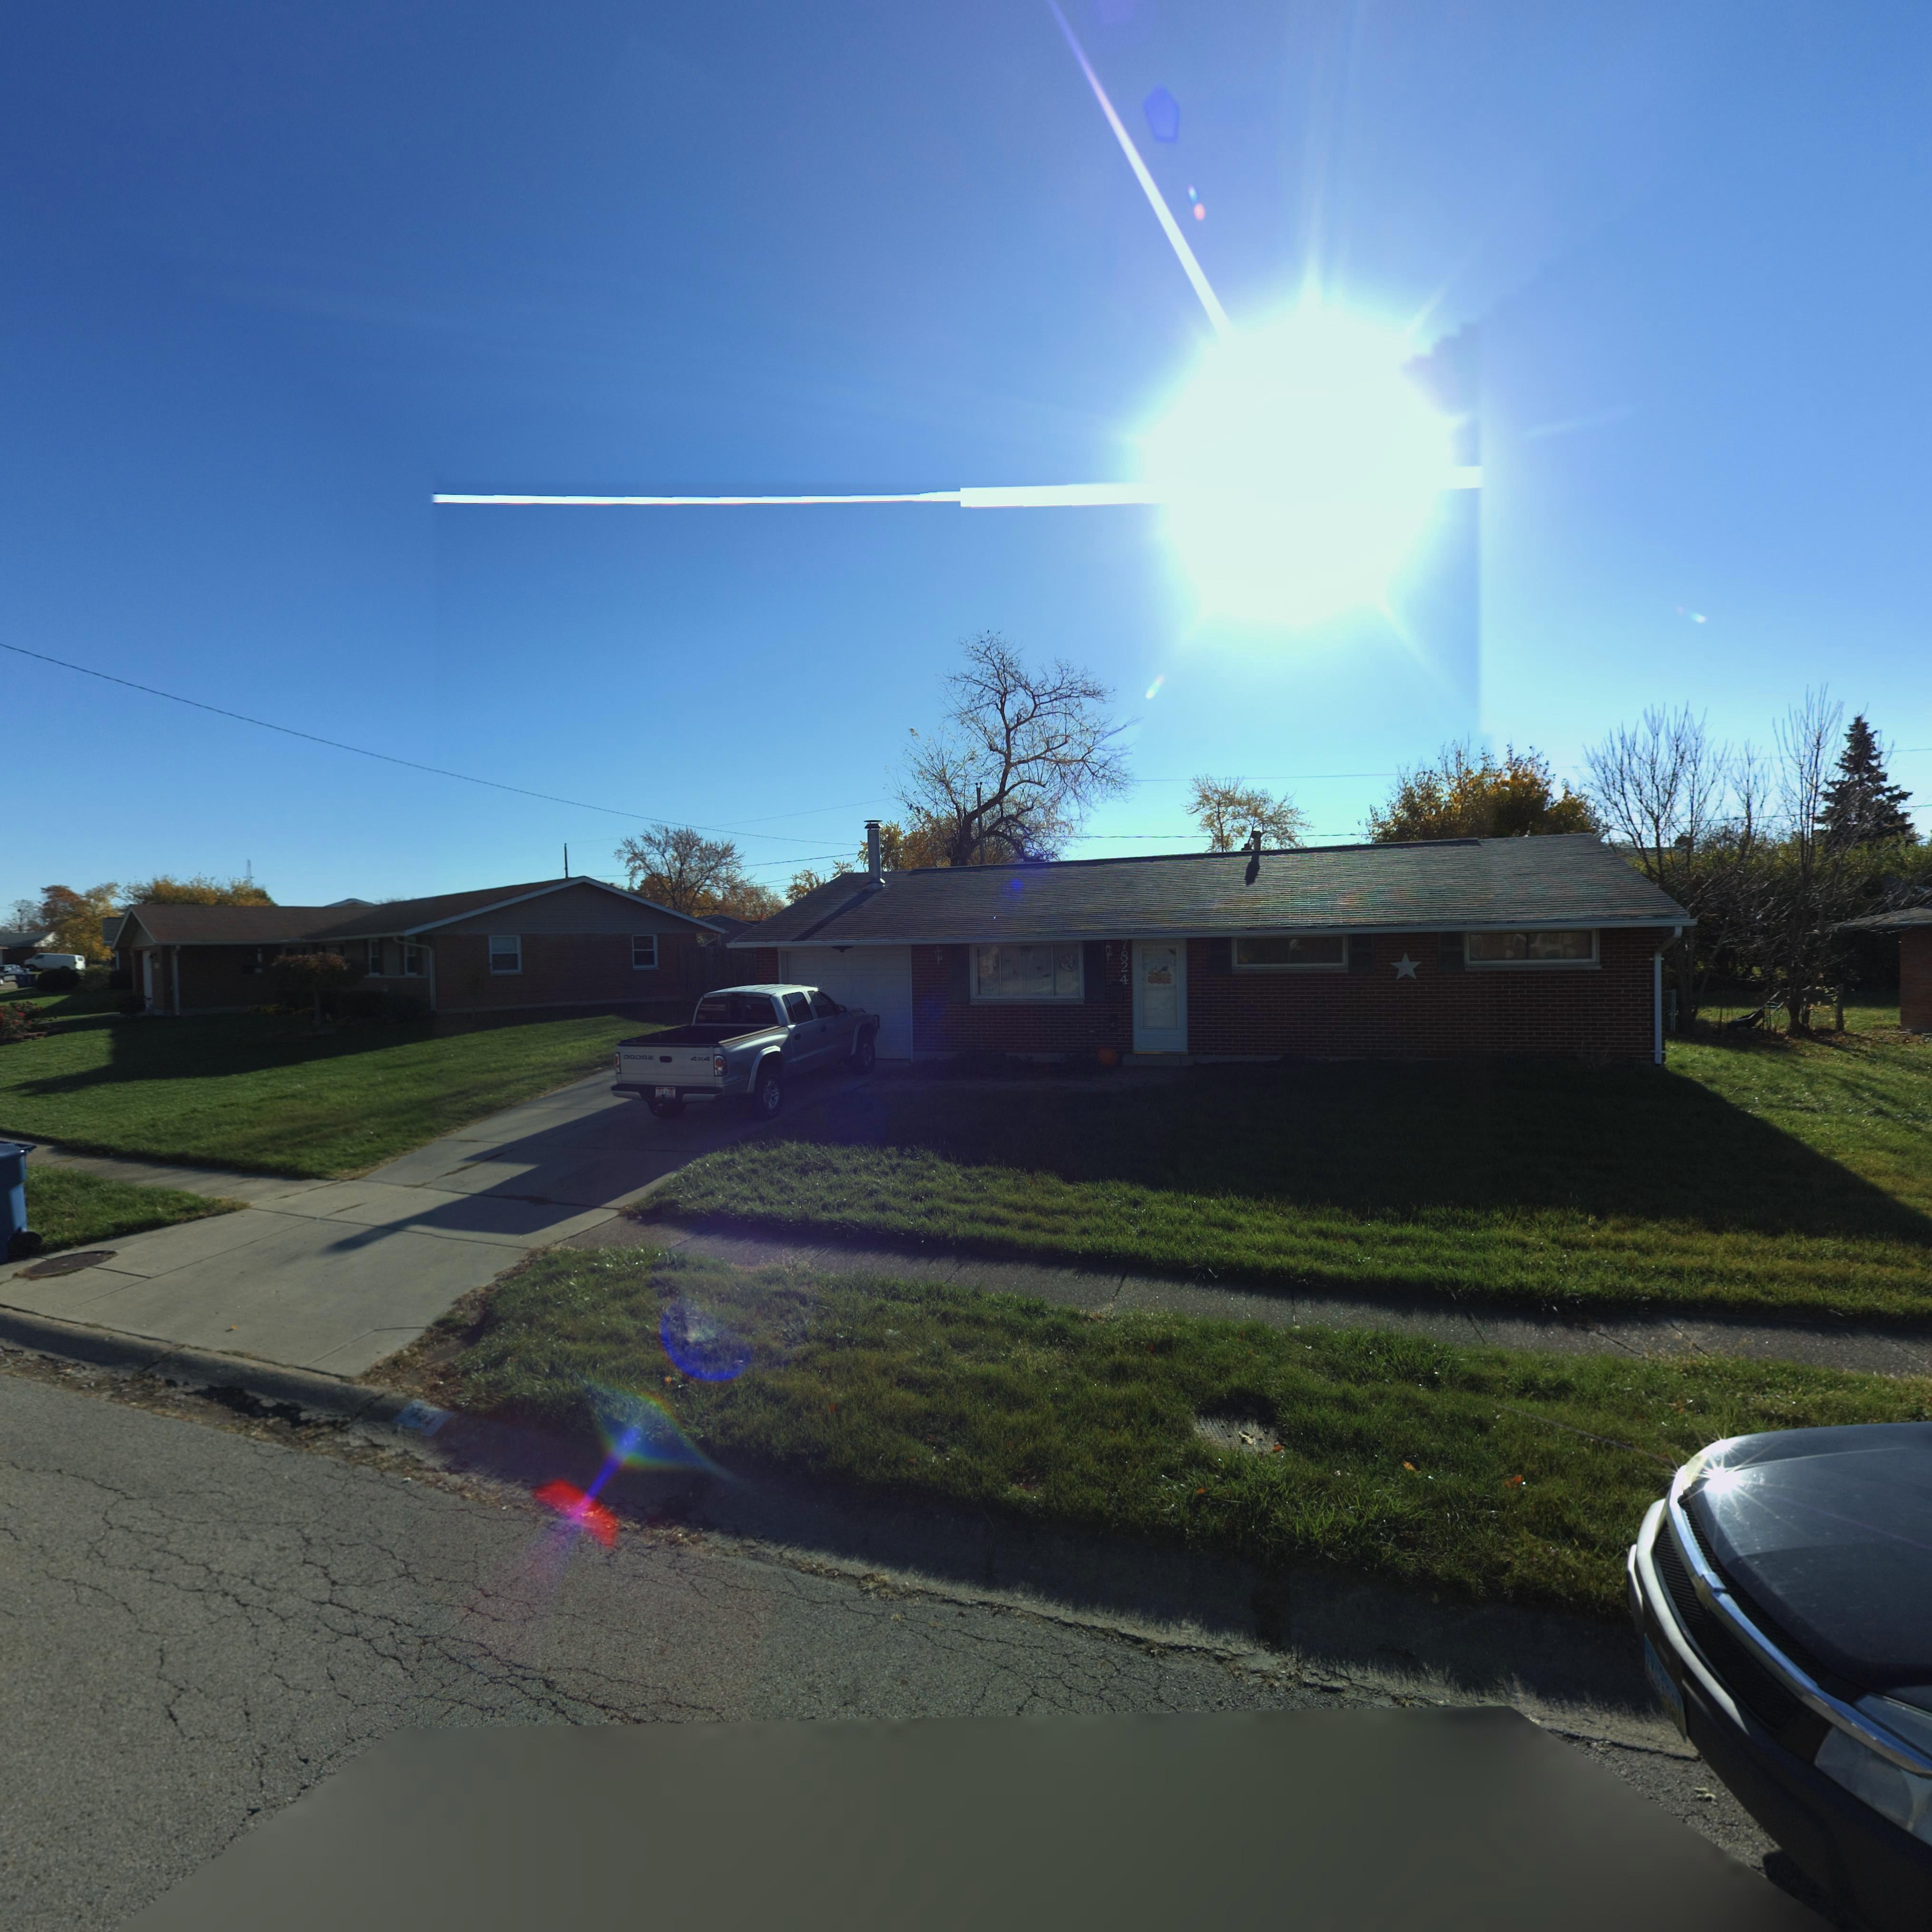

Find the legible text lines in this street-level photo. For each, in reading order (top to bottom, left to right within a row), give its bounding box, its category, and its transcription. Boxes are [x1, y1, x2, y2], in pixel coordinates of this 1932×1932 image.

[1118, 938, 1129, 986] StreetNumber: 7824